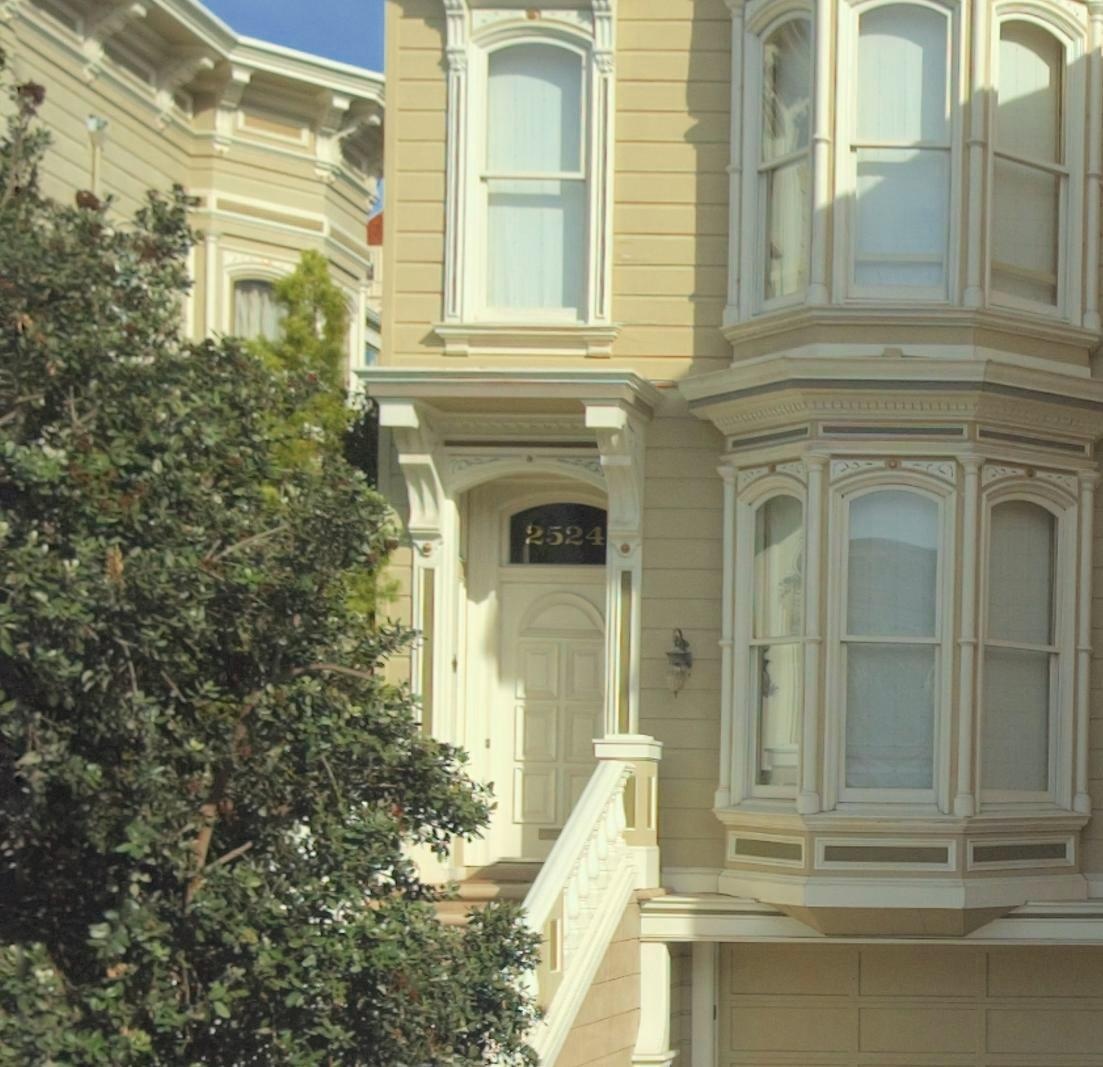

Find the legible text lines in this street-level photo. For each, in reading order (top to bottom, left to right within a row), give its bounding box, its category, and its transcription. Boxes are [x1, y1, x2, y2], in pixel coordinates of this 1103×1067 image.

[523, 522, 606, 547] StreetNumber: 2524